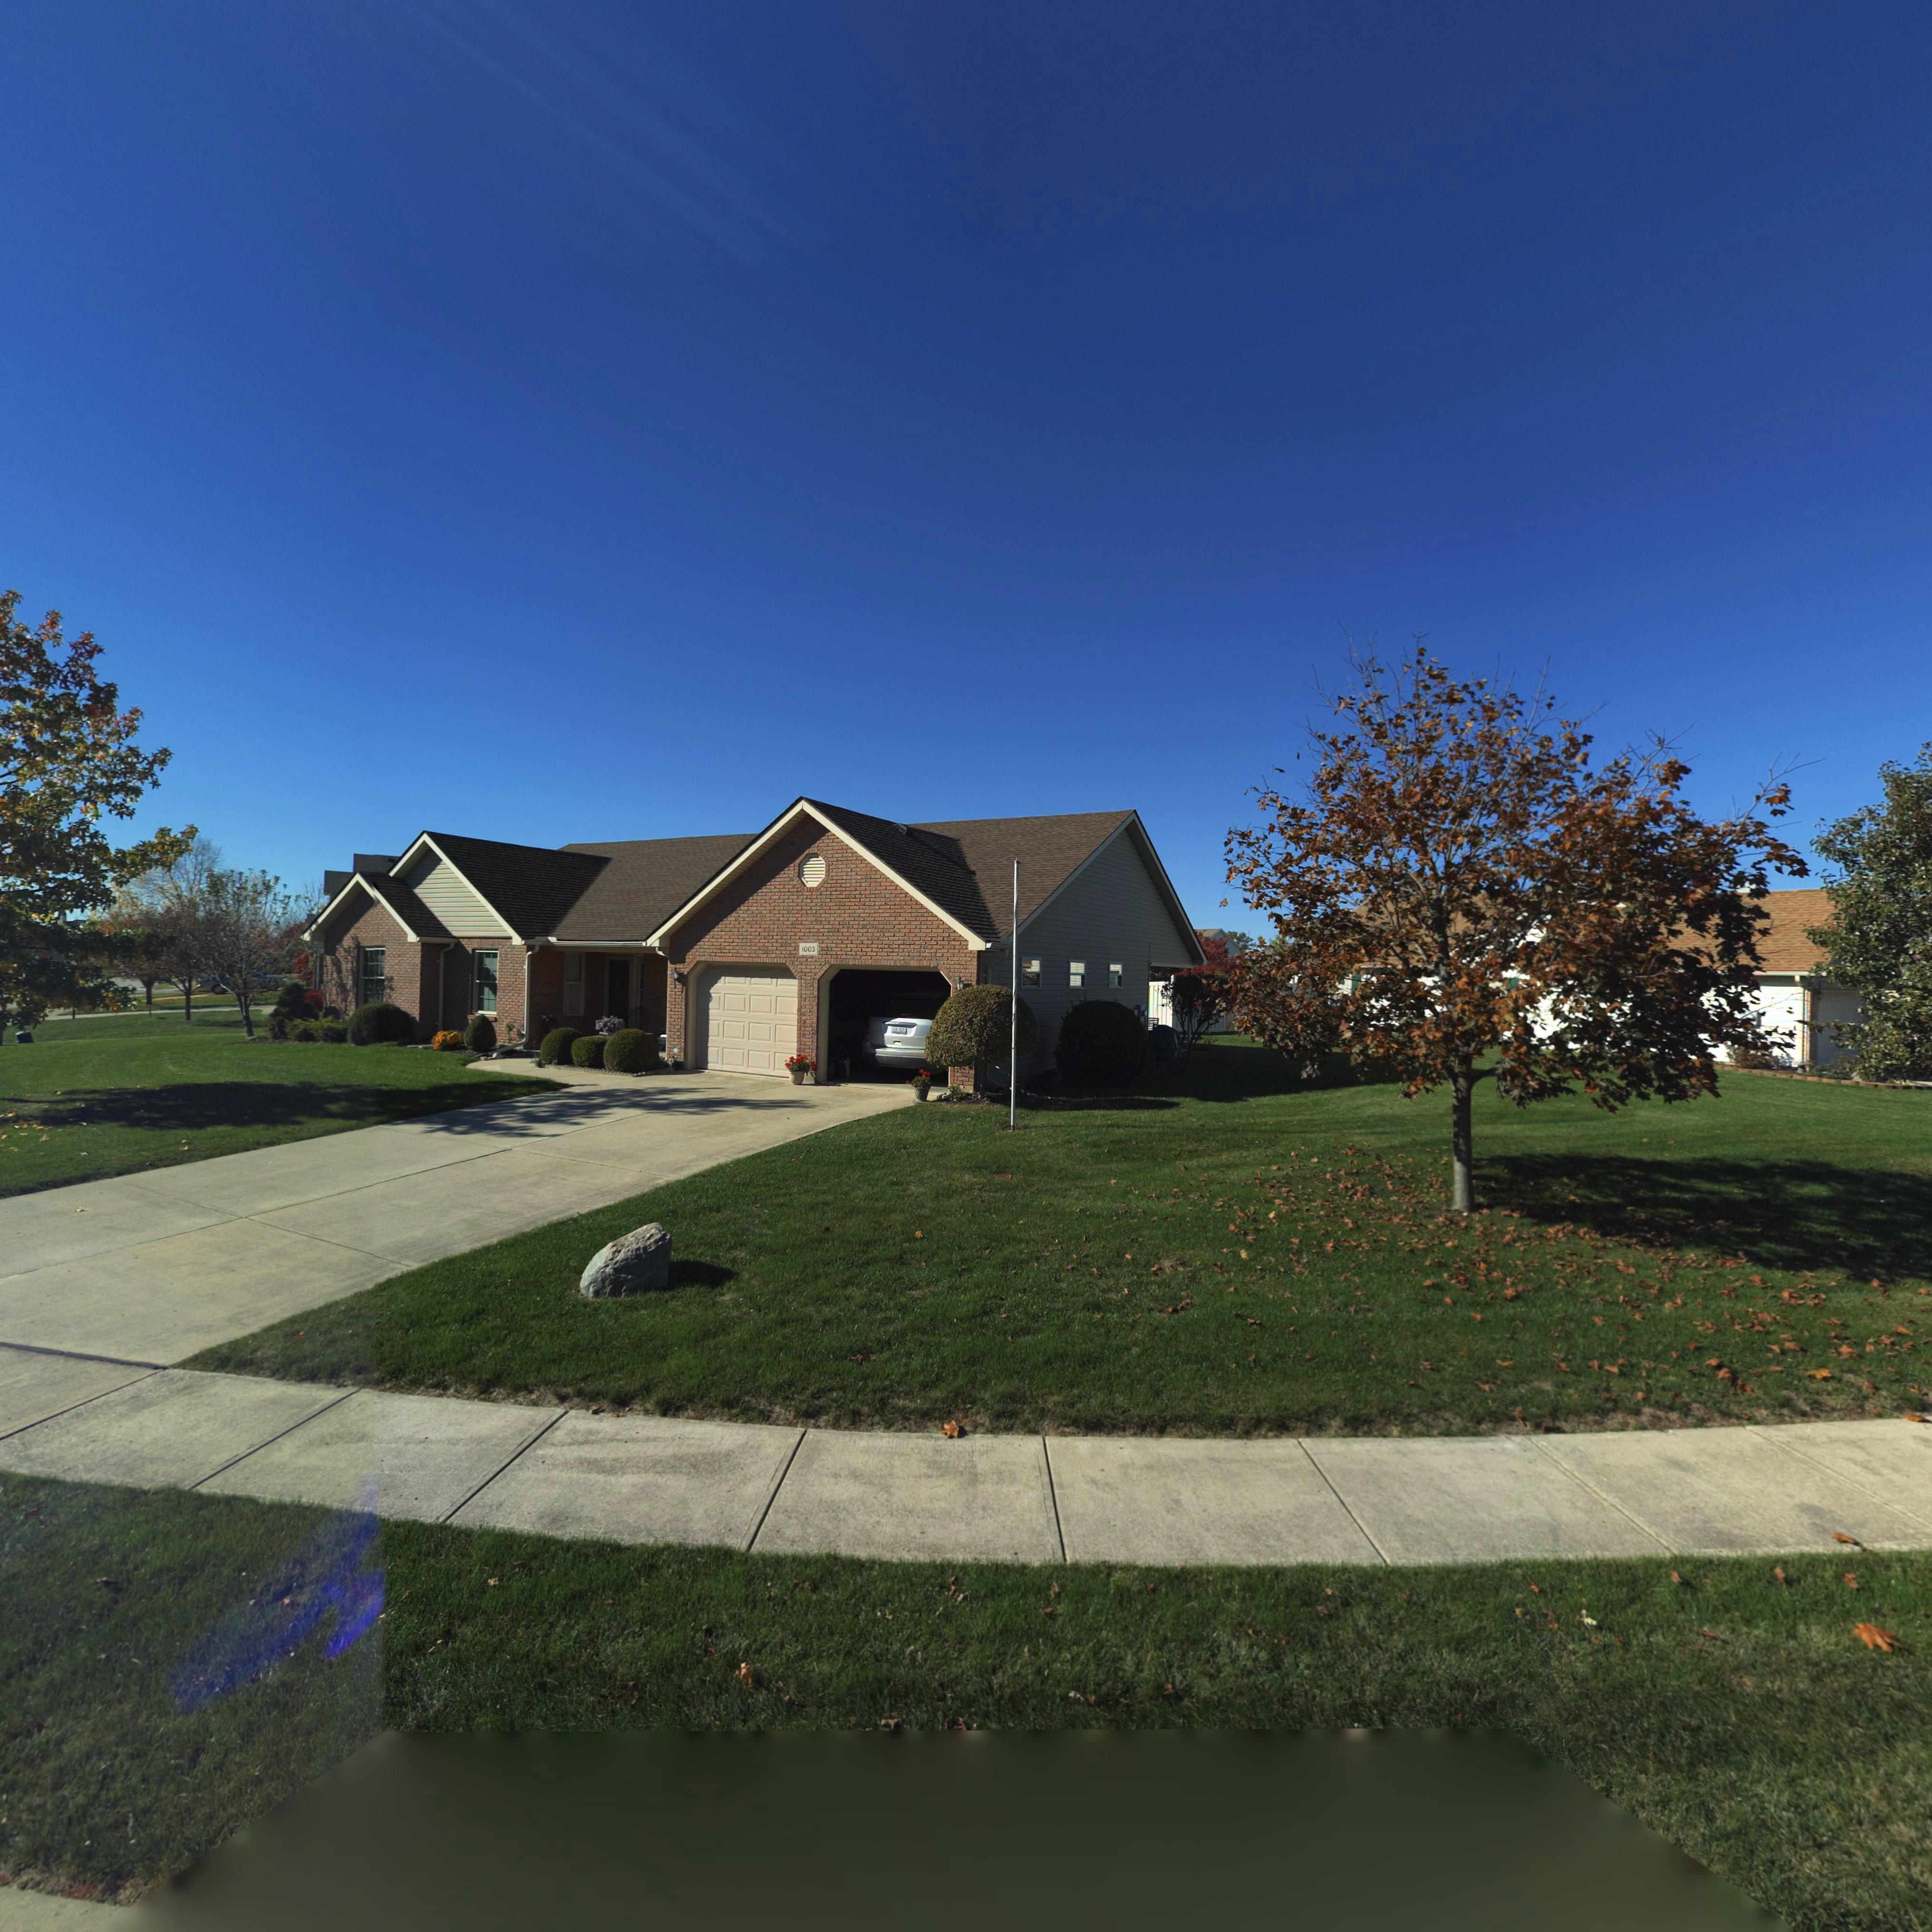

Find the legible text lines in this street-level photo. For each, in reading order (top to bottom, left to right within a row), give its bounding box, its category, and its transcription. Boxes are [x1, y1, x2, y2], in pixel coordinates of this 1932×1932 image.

[801, 946, 816, 953] StreetNumber: 1003